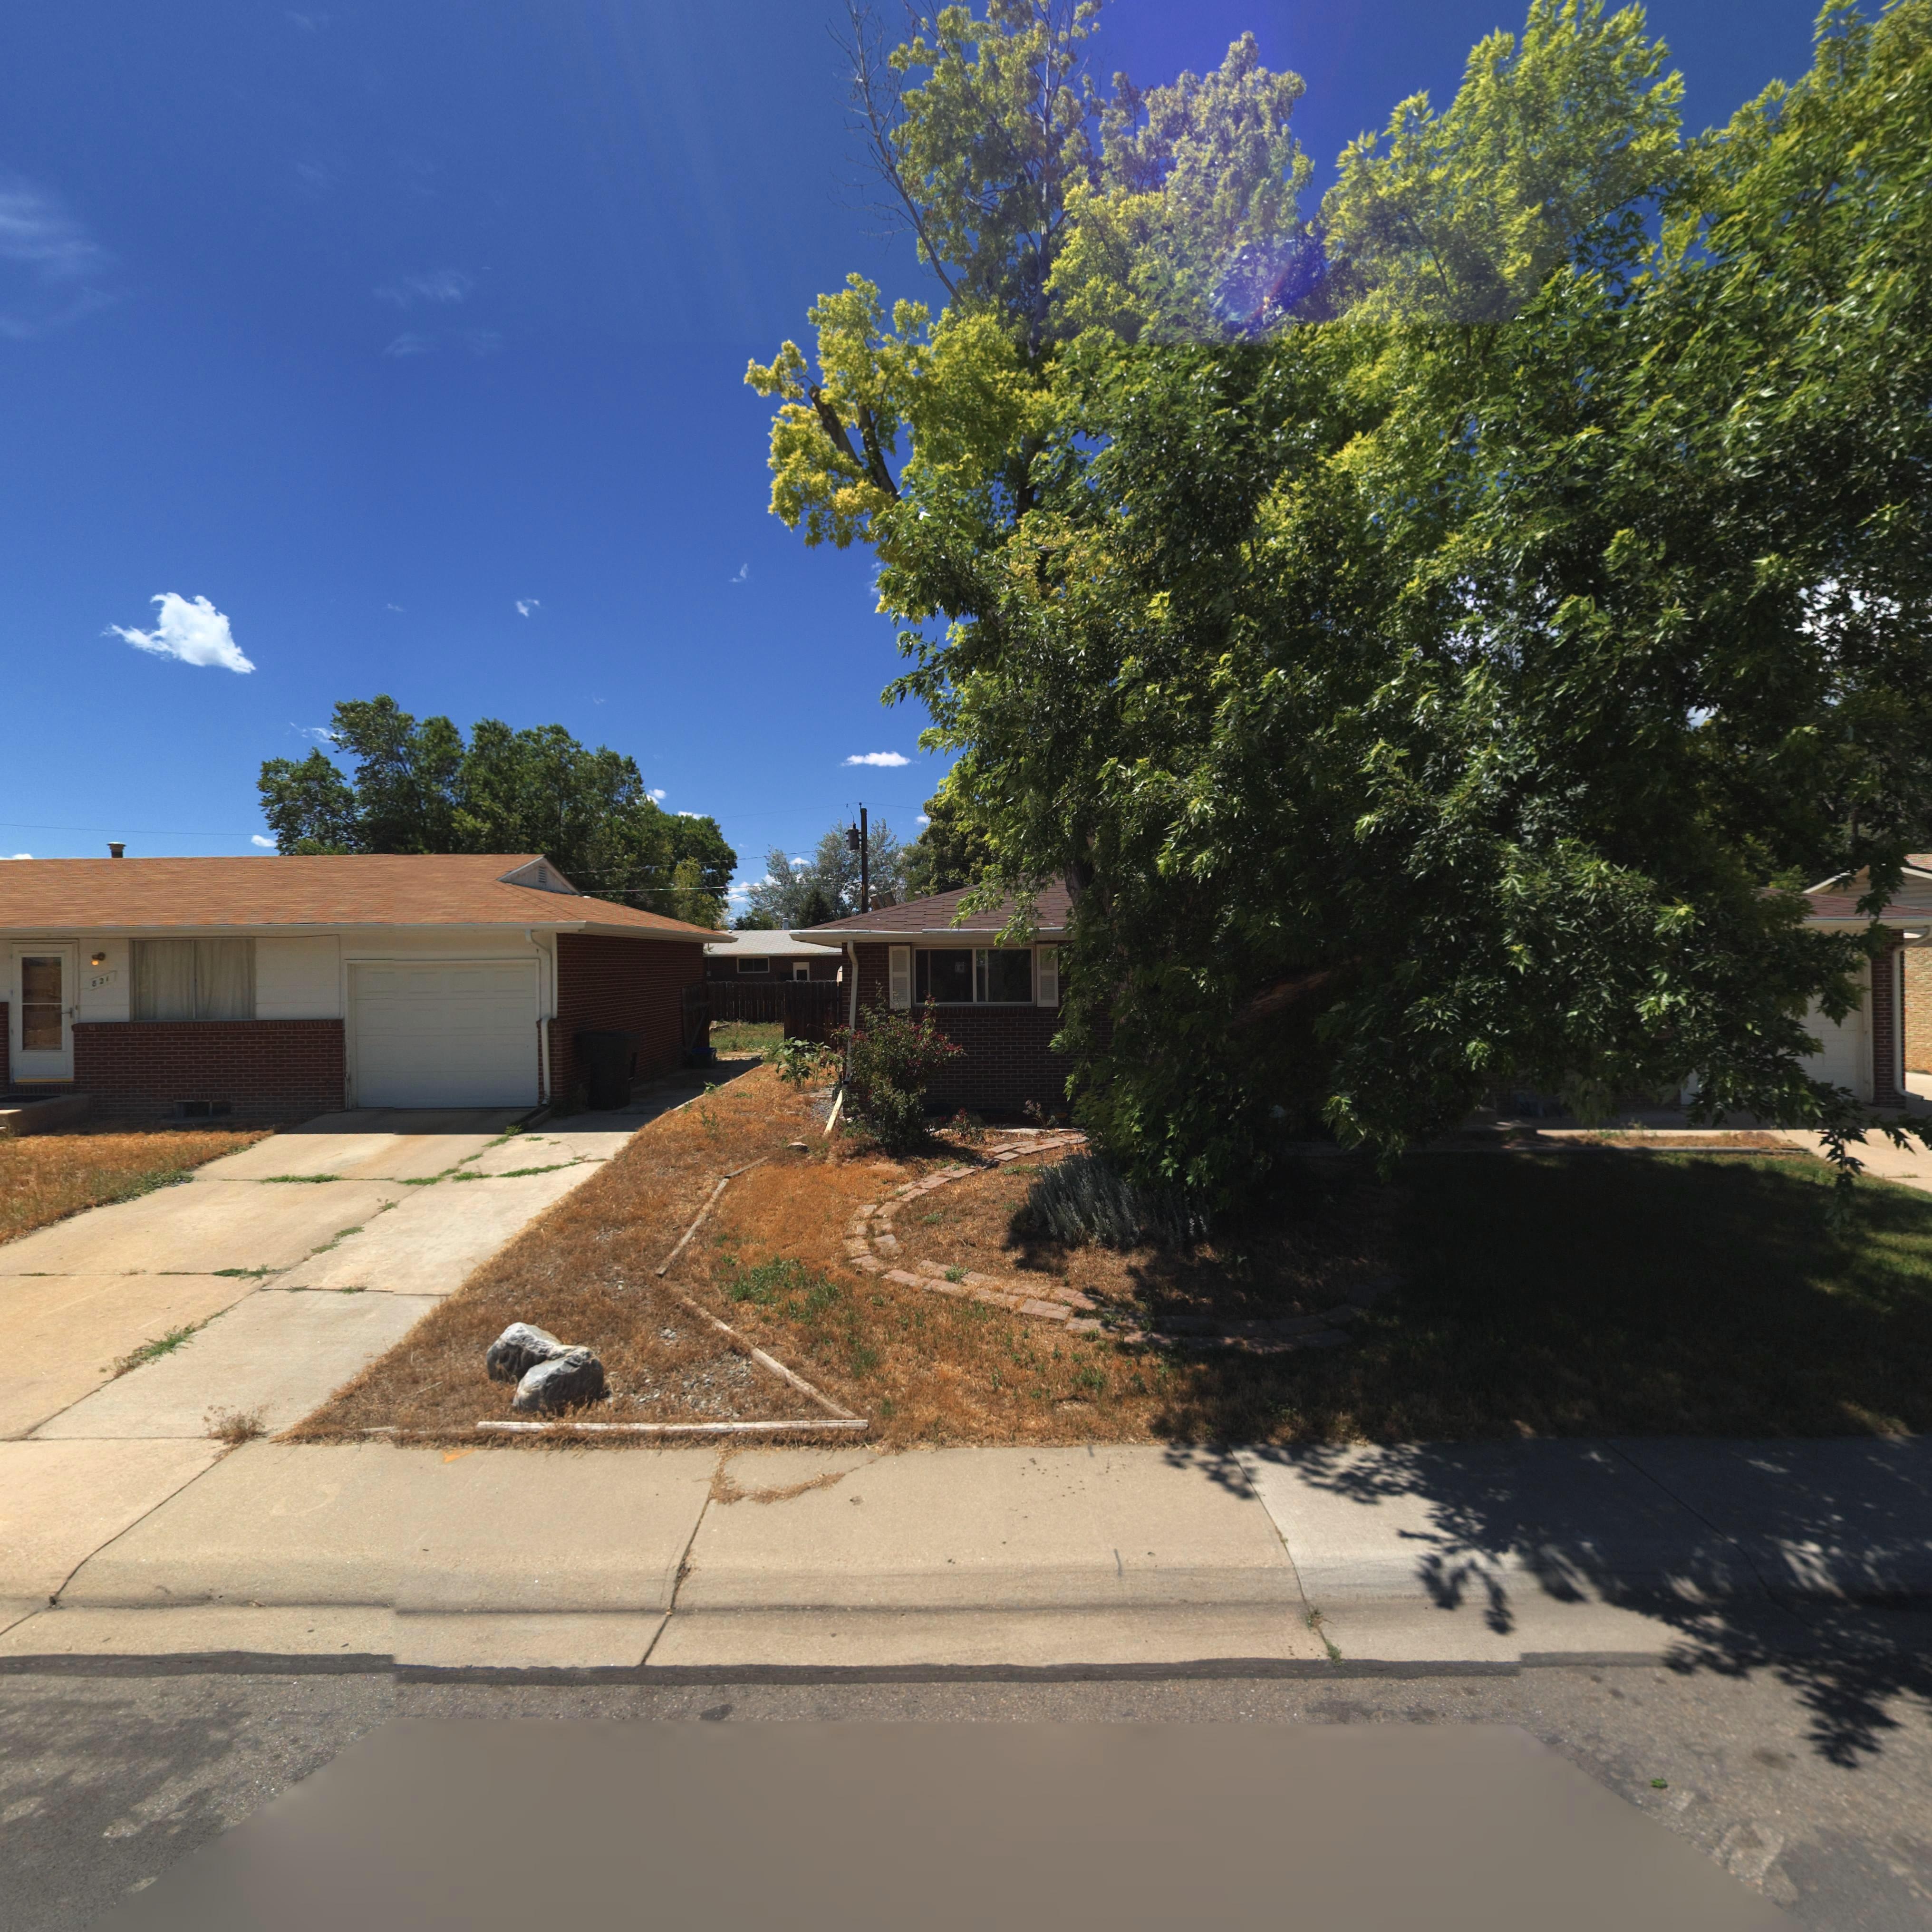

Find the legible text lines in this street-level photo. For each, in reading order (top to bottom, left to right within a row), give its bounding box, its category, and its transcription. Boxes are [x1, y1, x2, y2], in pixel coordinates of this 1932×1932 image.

[90, 974, 109, 987] StreetNumber: 821